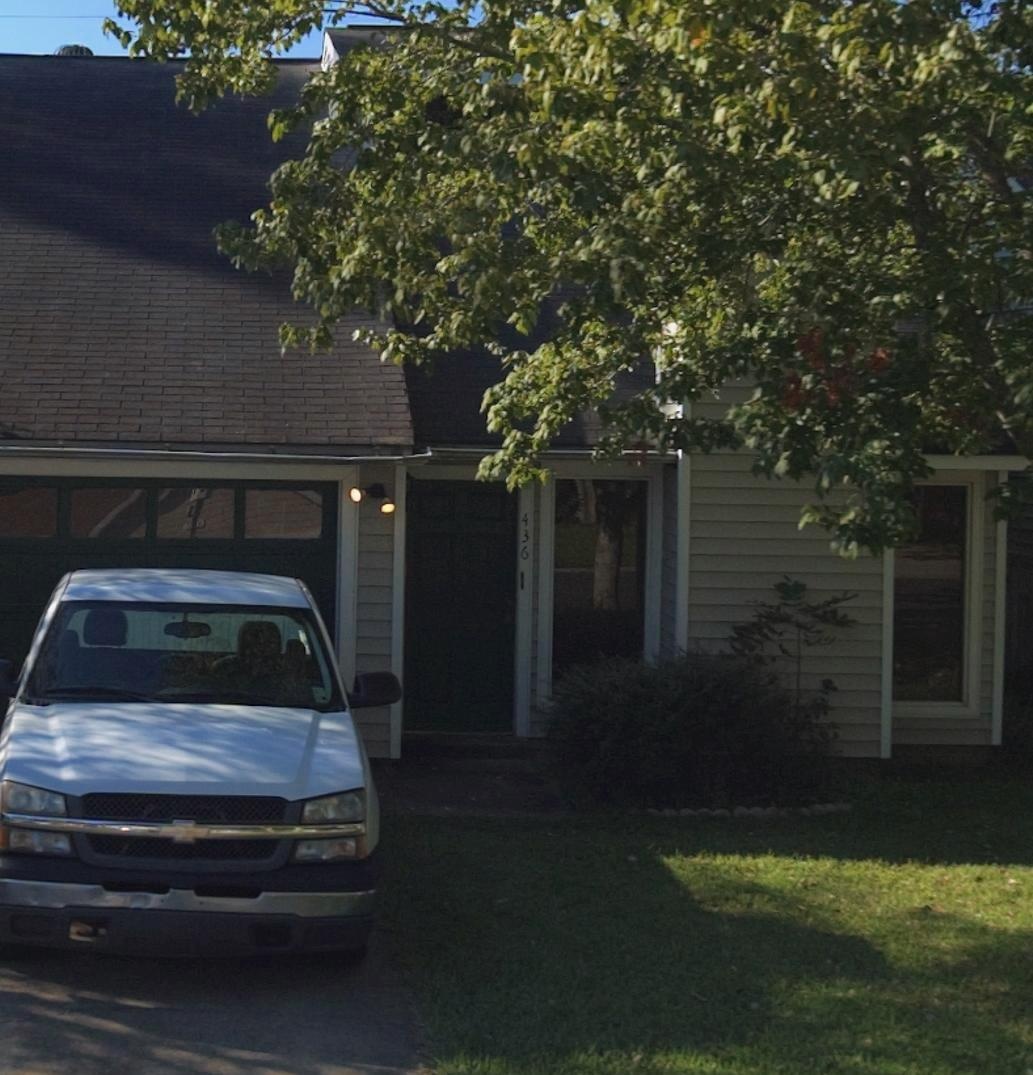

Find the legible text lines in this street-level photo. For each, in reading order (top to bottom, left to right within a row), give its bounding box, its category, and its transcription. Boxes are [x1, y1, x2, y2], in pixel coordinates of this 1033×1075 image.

[520, 511, 531, 562] StreetNumber: 436